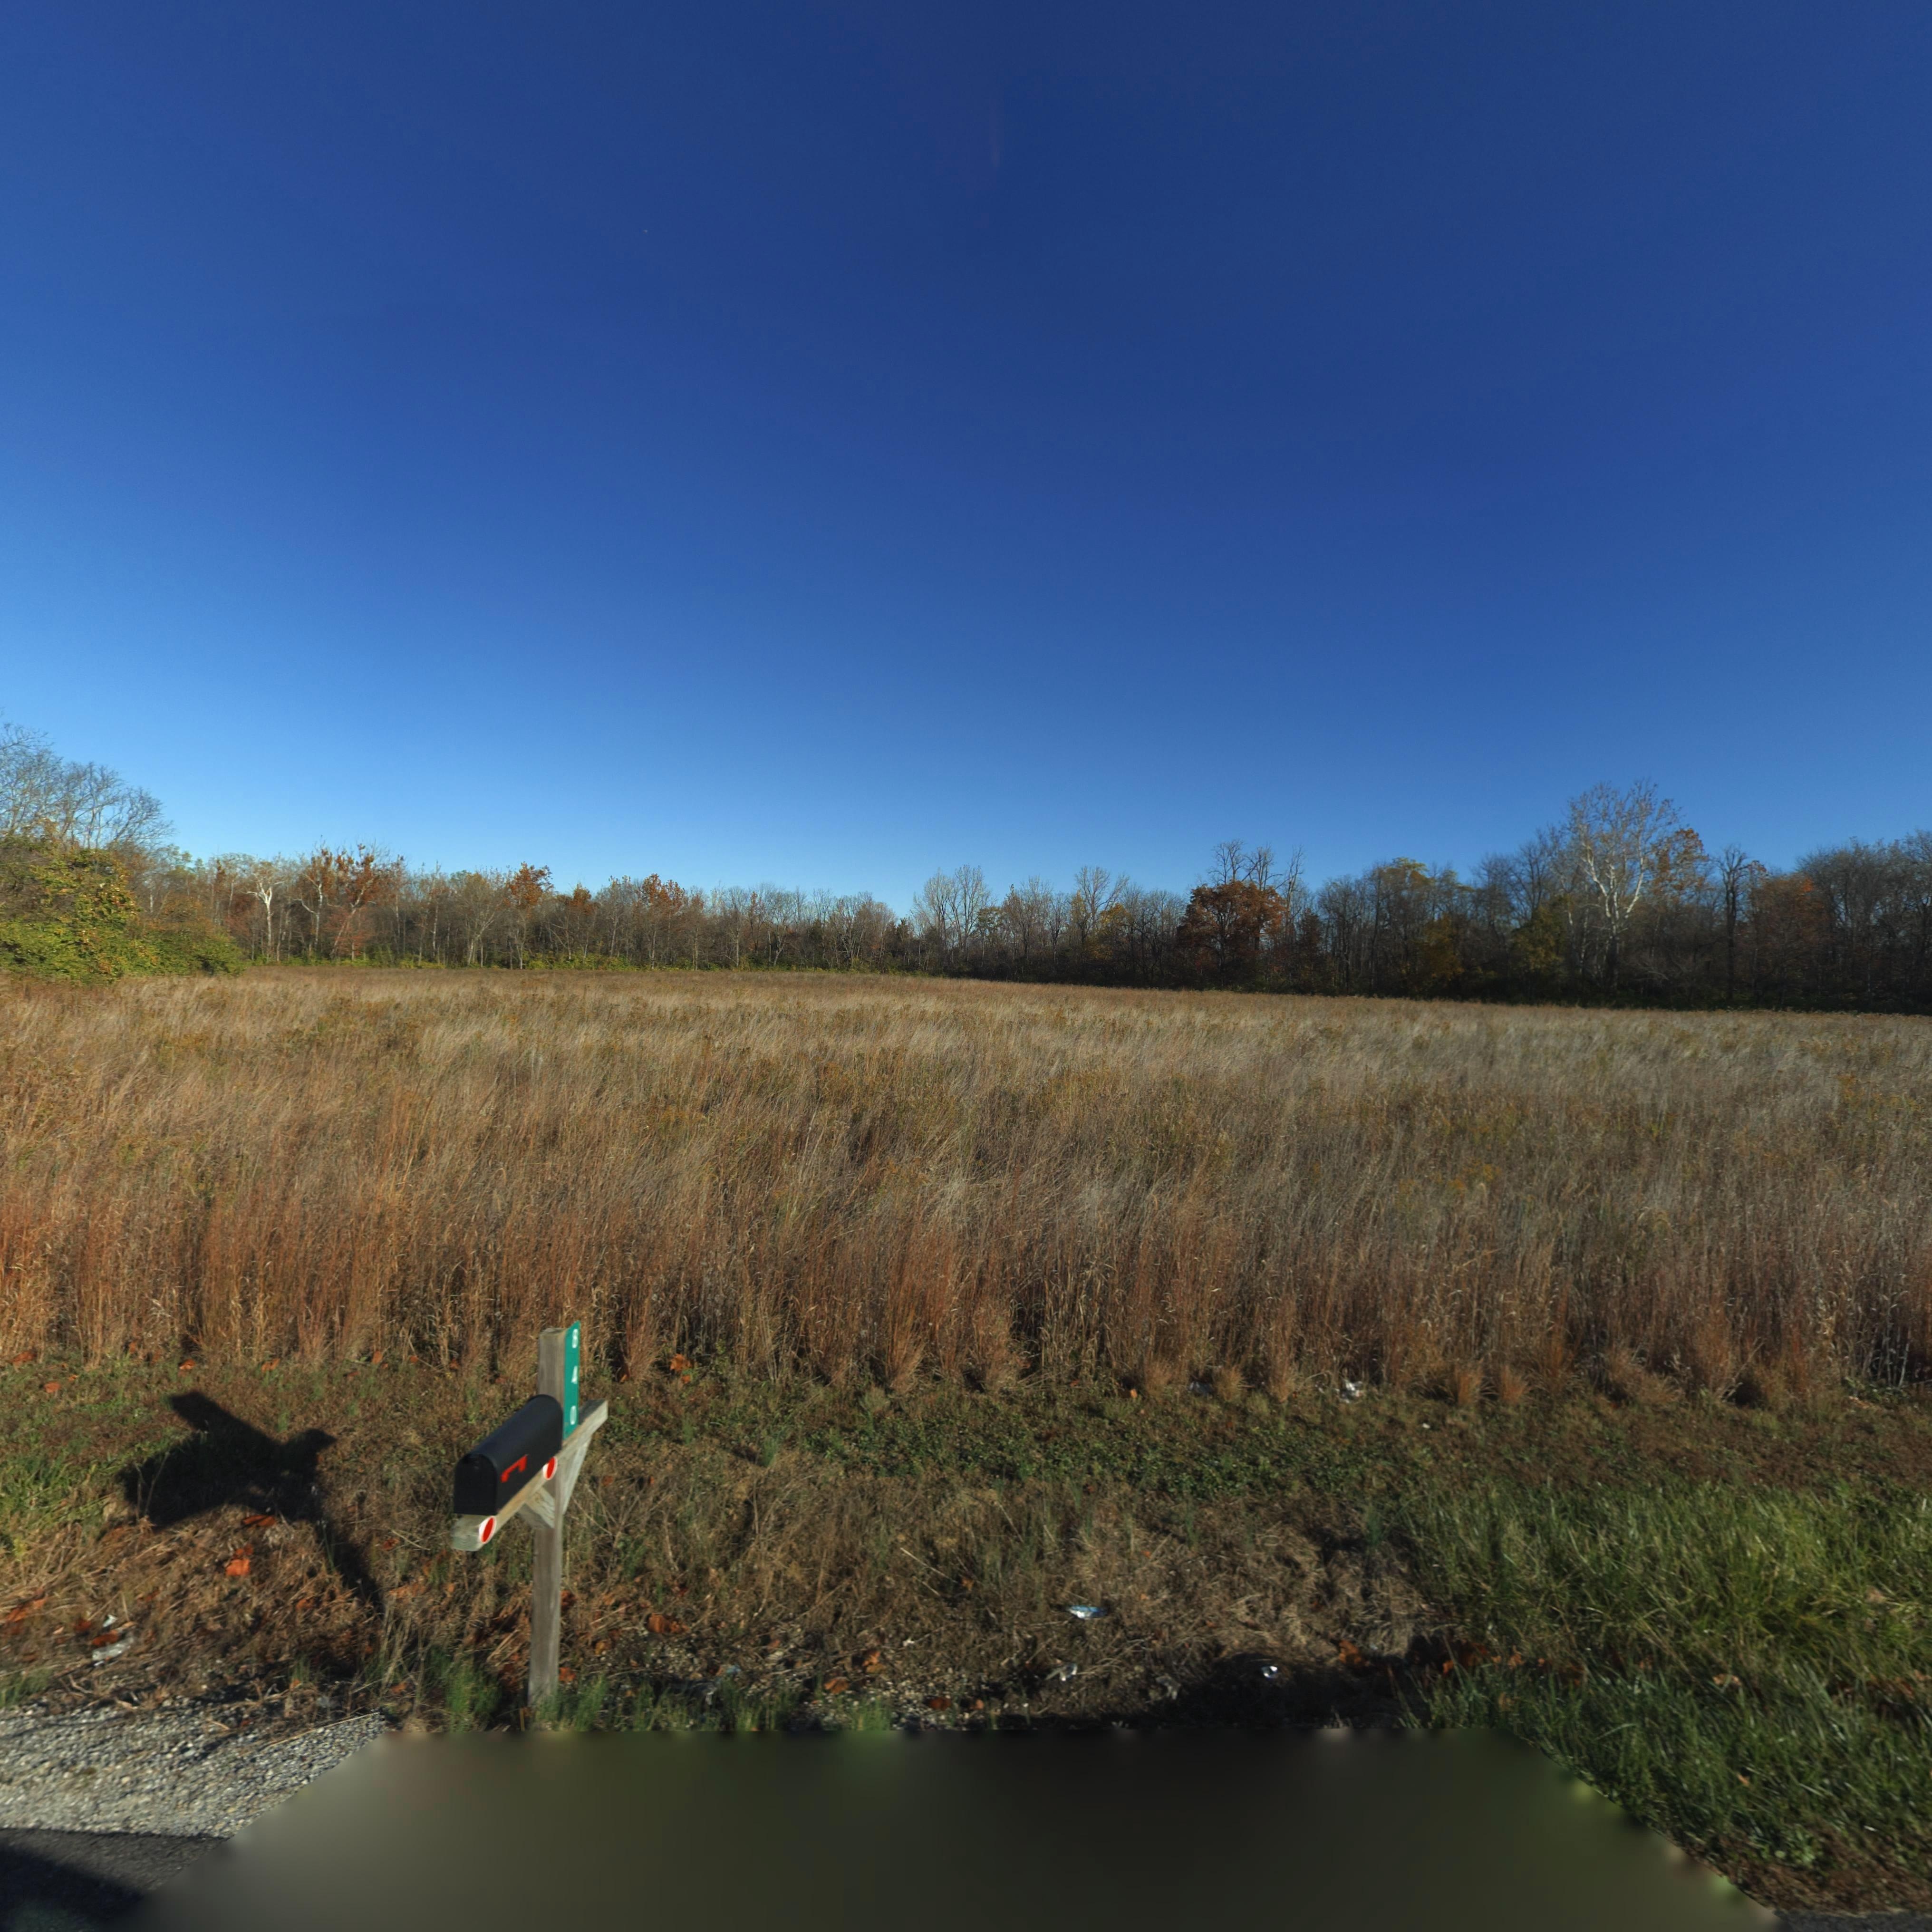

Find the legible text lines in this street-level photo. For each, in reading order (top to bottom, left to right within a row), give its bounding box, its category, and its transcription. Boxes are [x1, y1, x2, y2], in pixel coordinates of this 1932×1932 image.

[568, 1324, 581, 1429] StreetNumber: 840